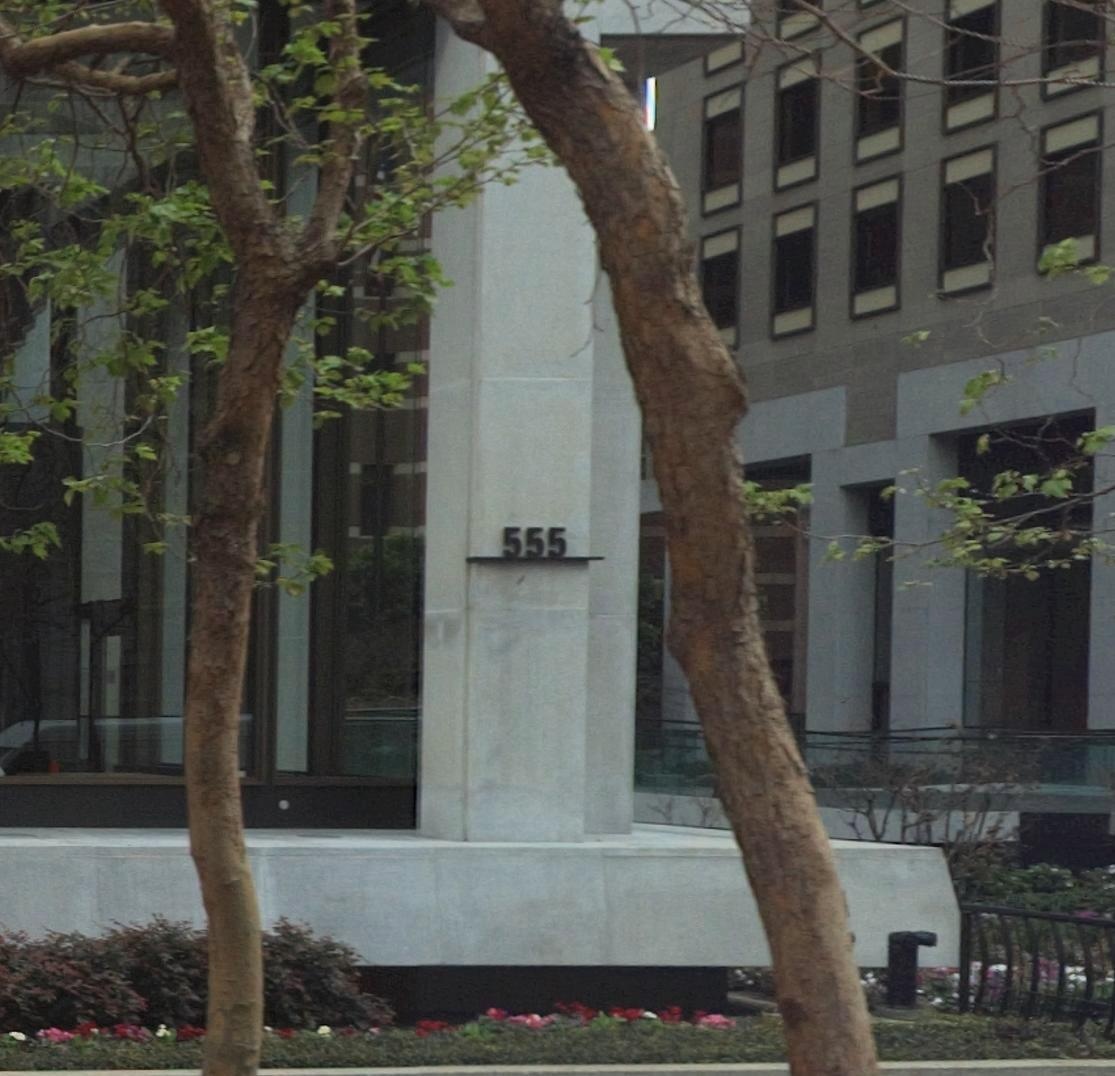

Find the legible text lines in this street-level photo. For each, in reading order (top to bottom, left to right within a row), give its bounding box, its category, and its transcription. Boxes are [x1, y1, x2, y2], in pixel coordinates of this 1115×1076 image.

[500, 525, 569, 558] StreetNumber: 555